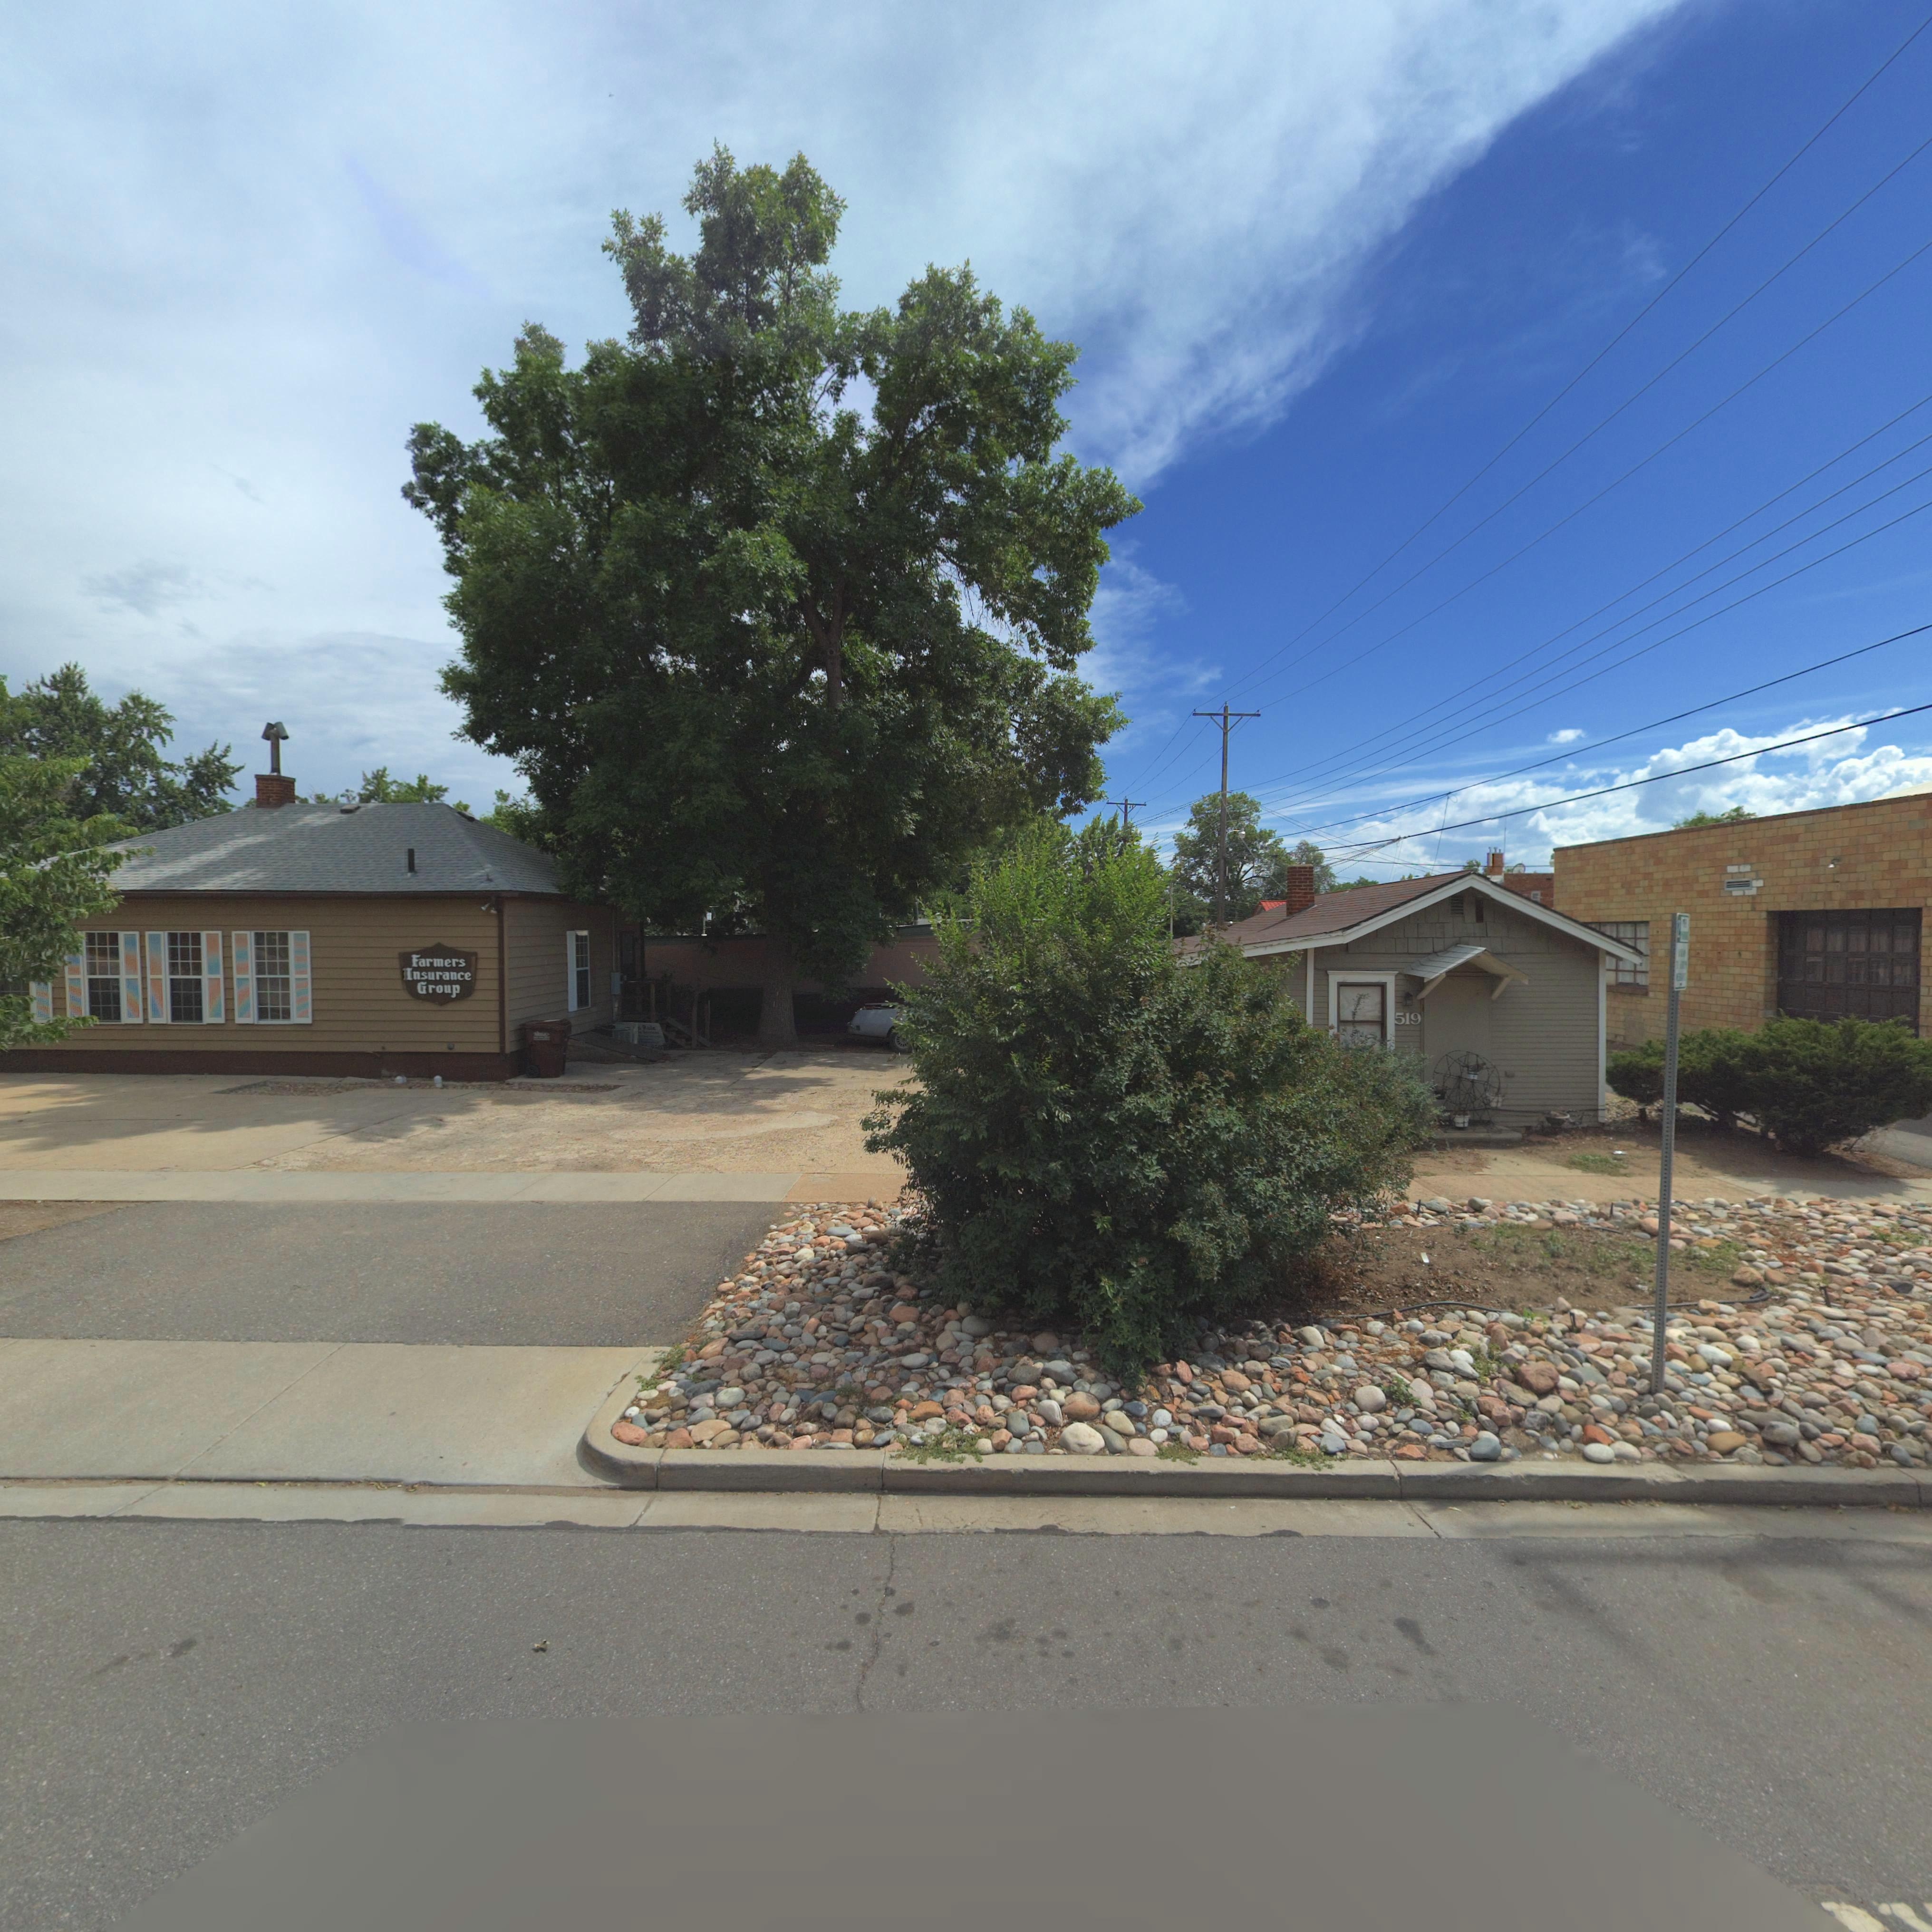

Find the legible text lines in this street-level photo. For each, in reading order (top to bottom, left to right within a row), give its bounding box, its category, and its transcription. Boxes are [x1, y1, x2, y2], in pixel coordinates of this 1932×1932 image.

[410, 953, 467, 967] BusinessName: Farmers
[405, 967, 472, 981] BusinessName: Insurance
[416, 981, 461, 998] BusinessName: Group
[1394, 1012, 1421, 1025] StreetNumber: 519